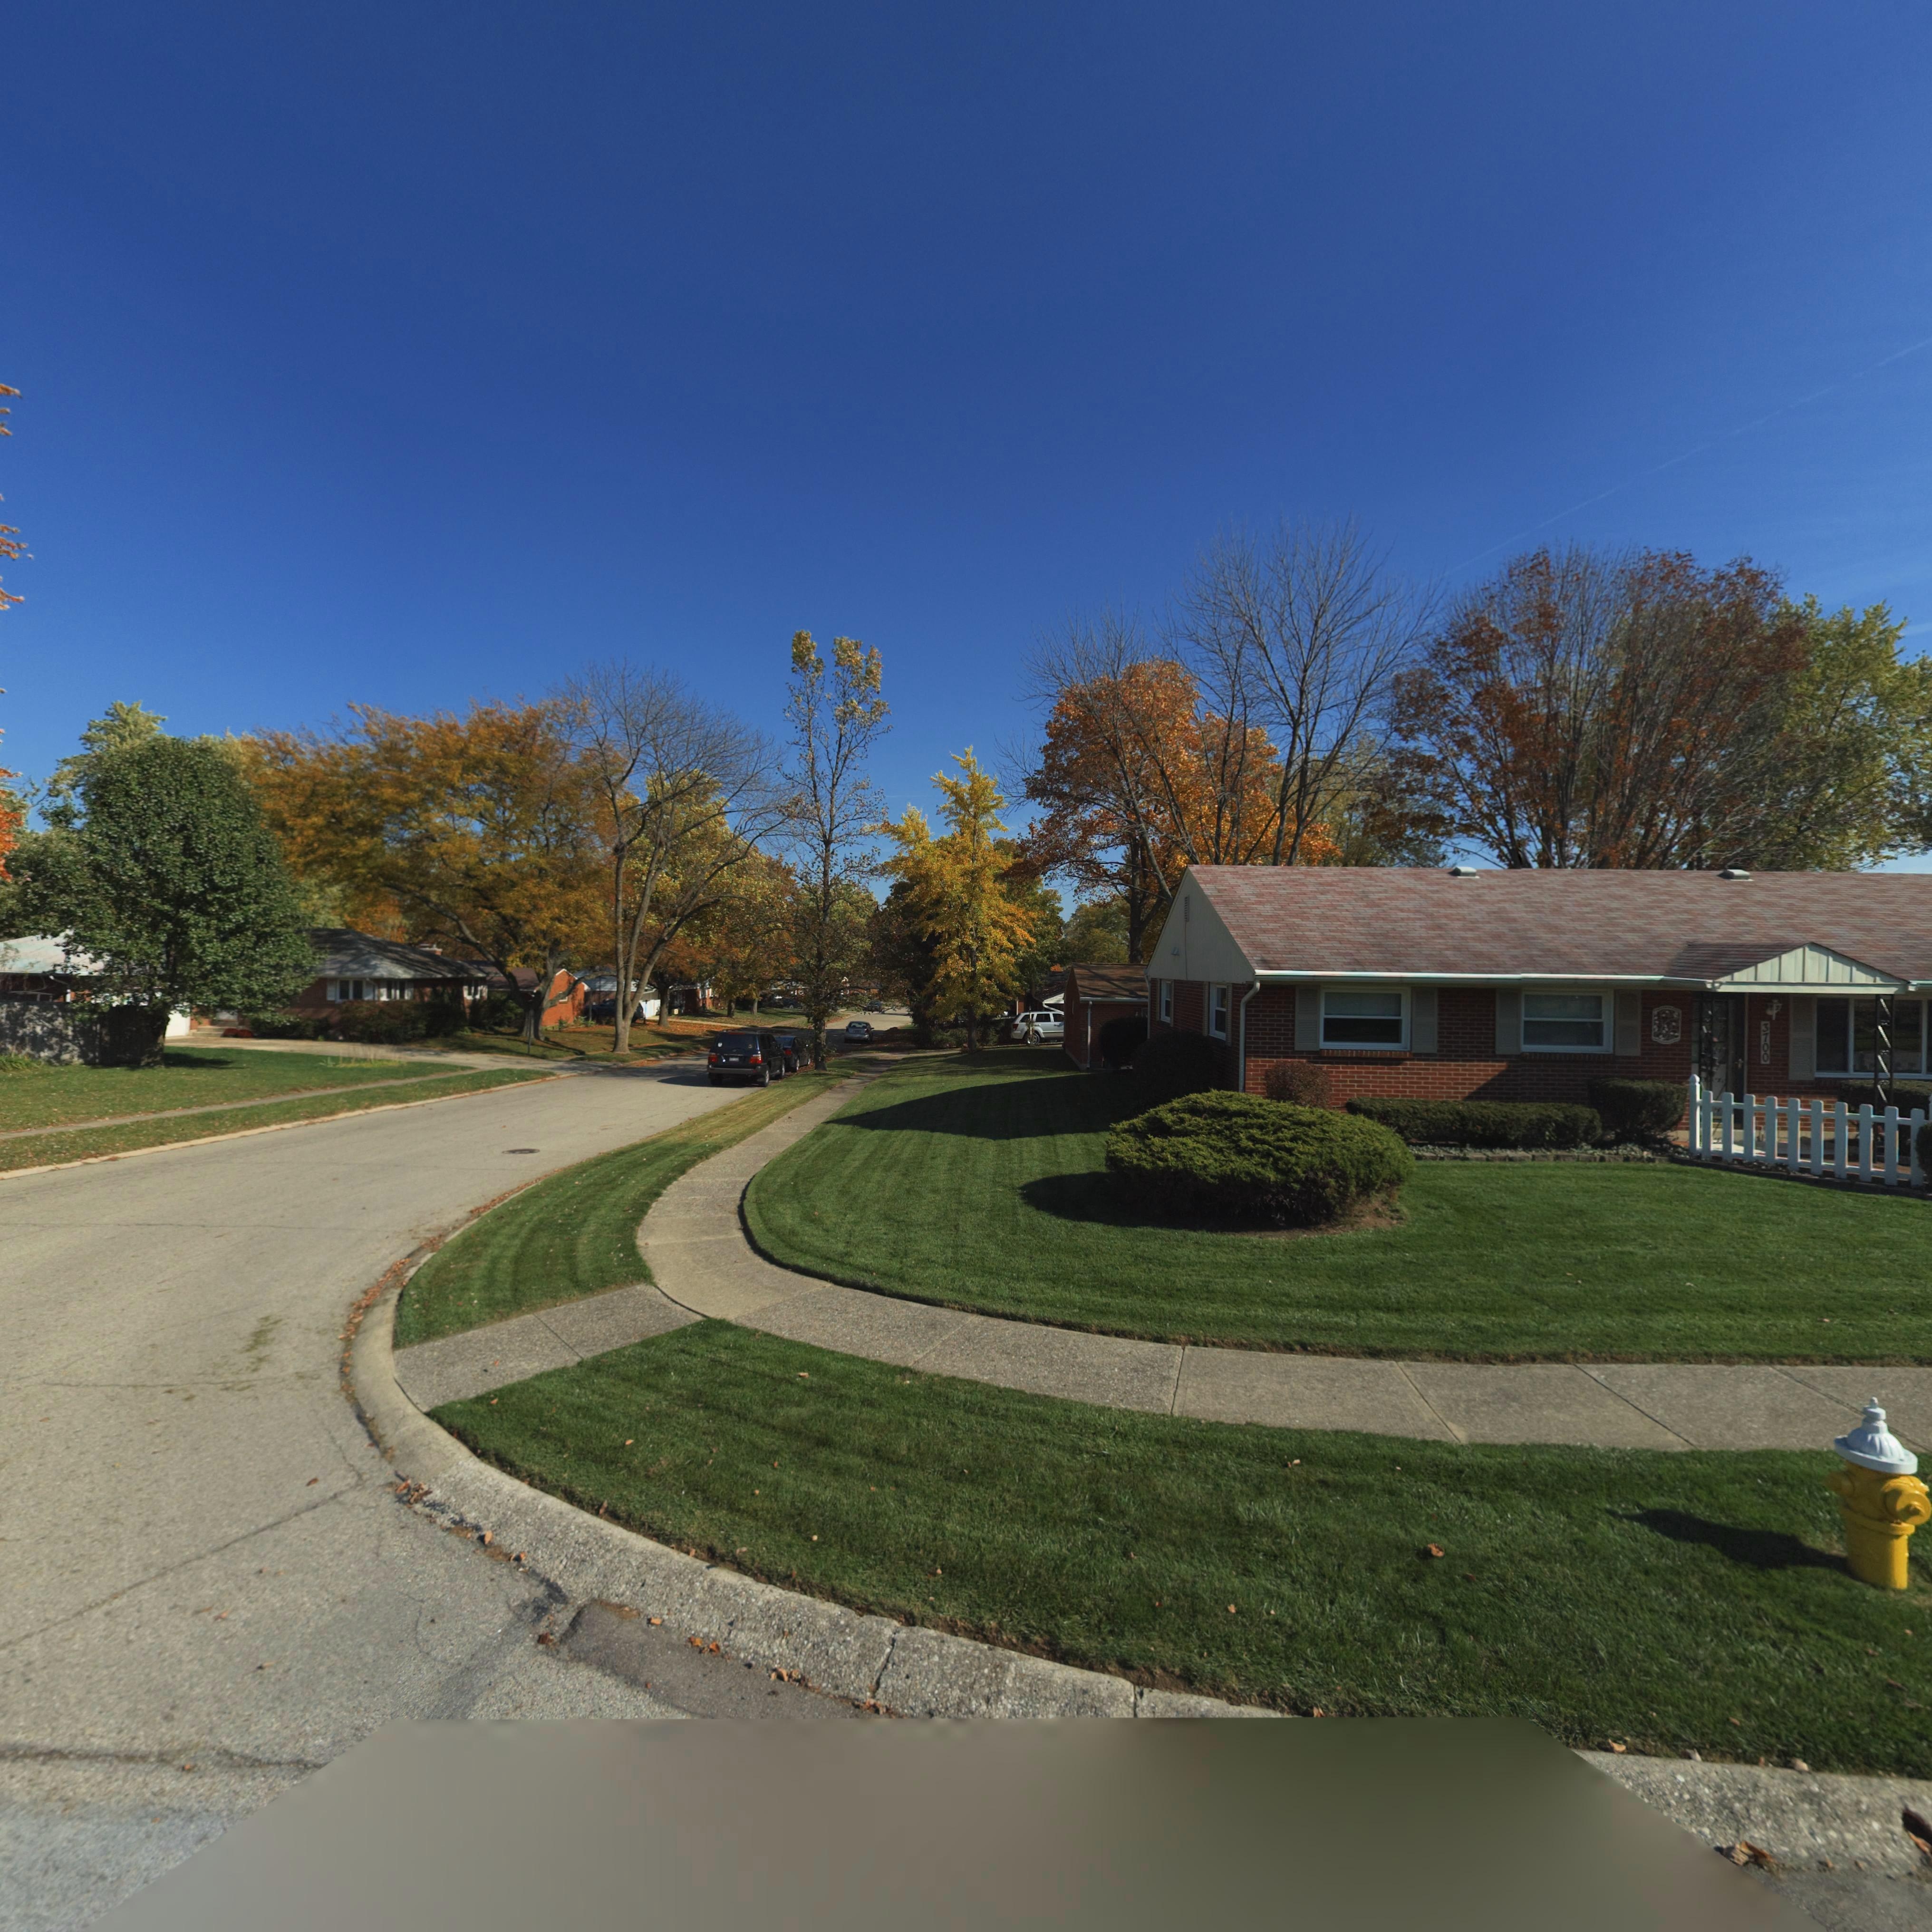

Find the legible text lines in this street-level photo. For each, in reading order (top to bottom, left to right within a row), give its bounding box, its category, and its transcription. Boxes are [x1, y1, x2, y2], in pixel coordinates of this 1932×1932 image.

[1761, 1022, 1769, 1063] StreetNumber: 3700